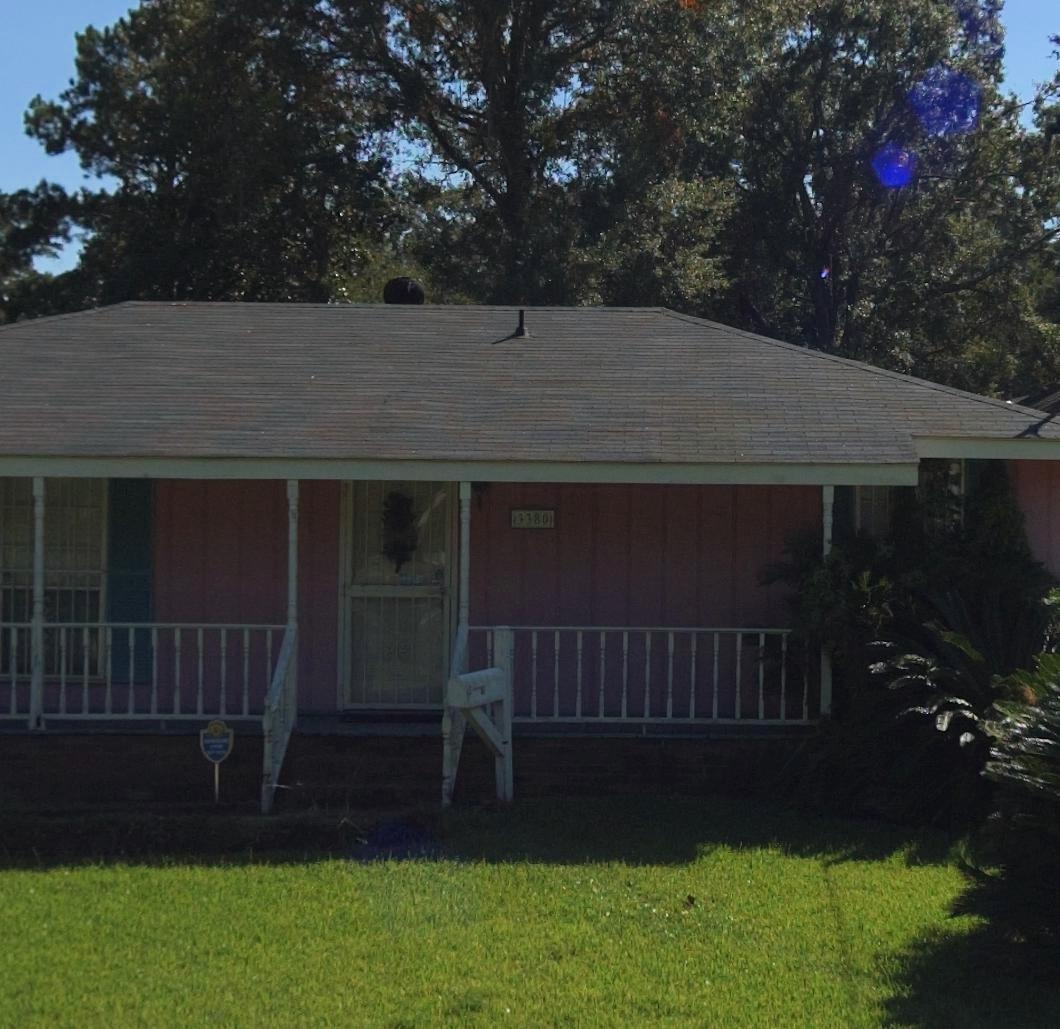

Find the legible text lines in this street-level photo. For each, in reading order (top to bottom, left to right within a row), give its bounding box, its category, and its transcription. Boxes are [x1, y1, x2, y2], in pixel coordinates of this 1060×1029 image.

[515, 511, 550, 526] StreetNumber: 3380